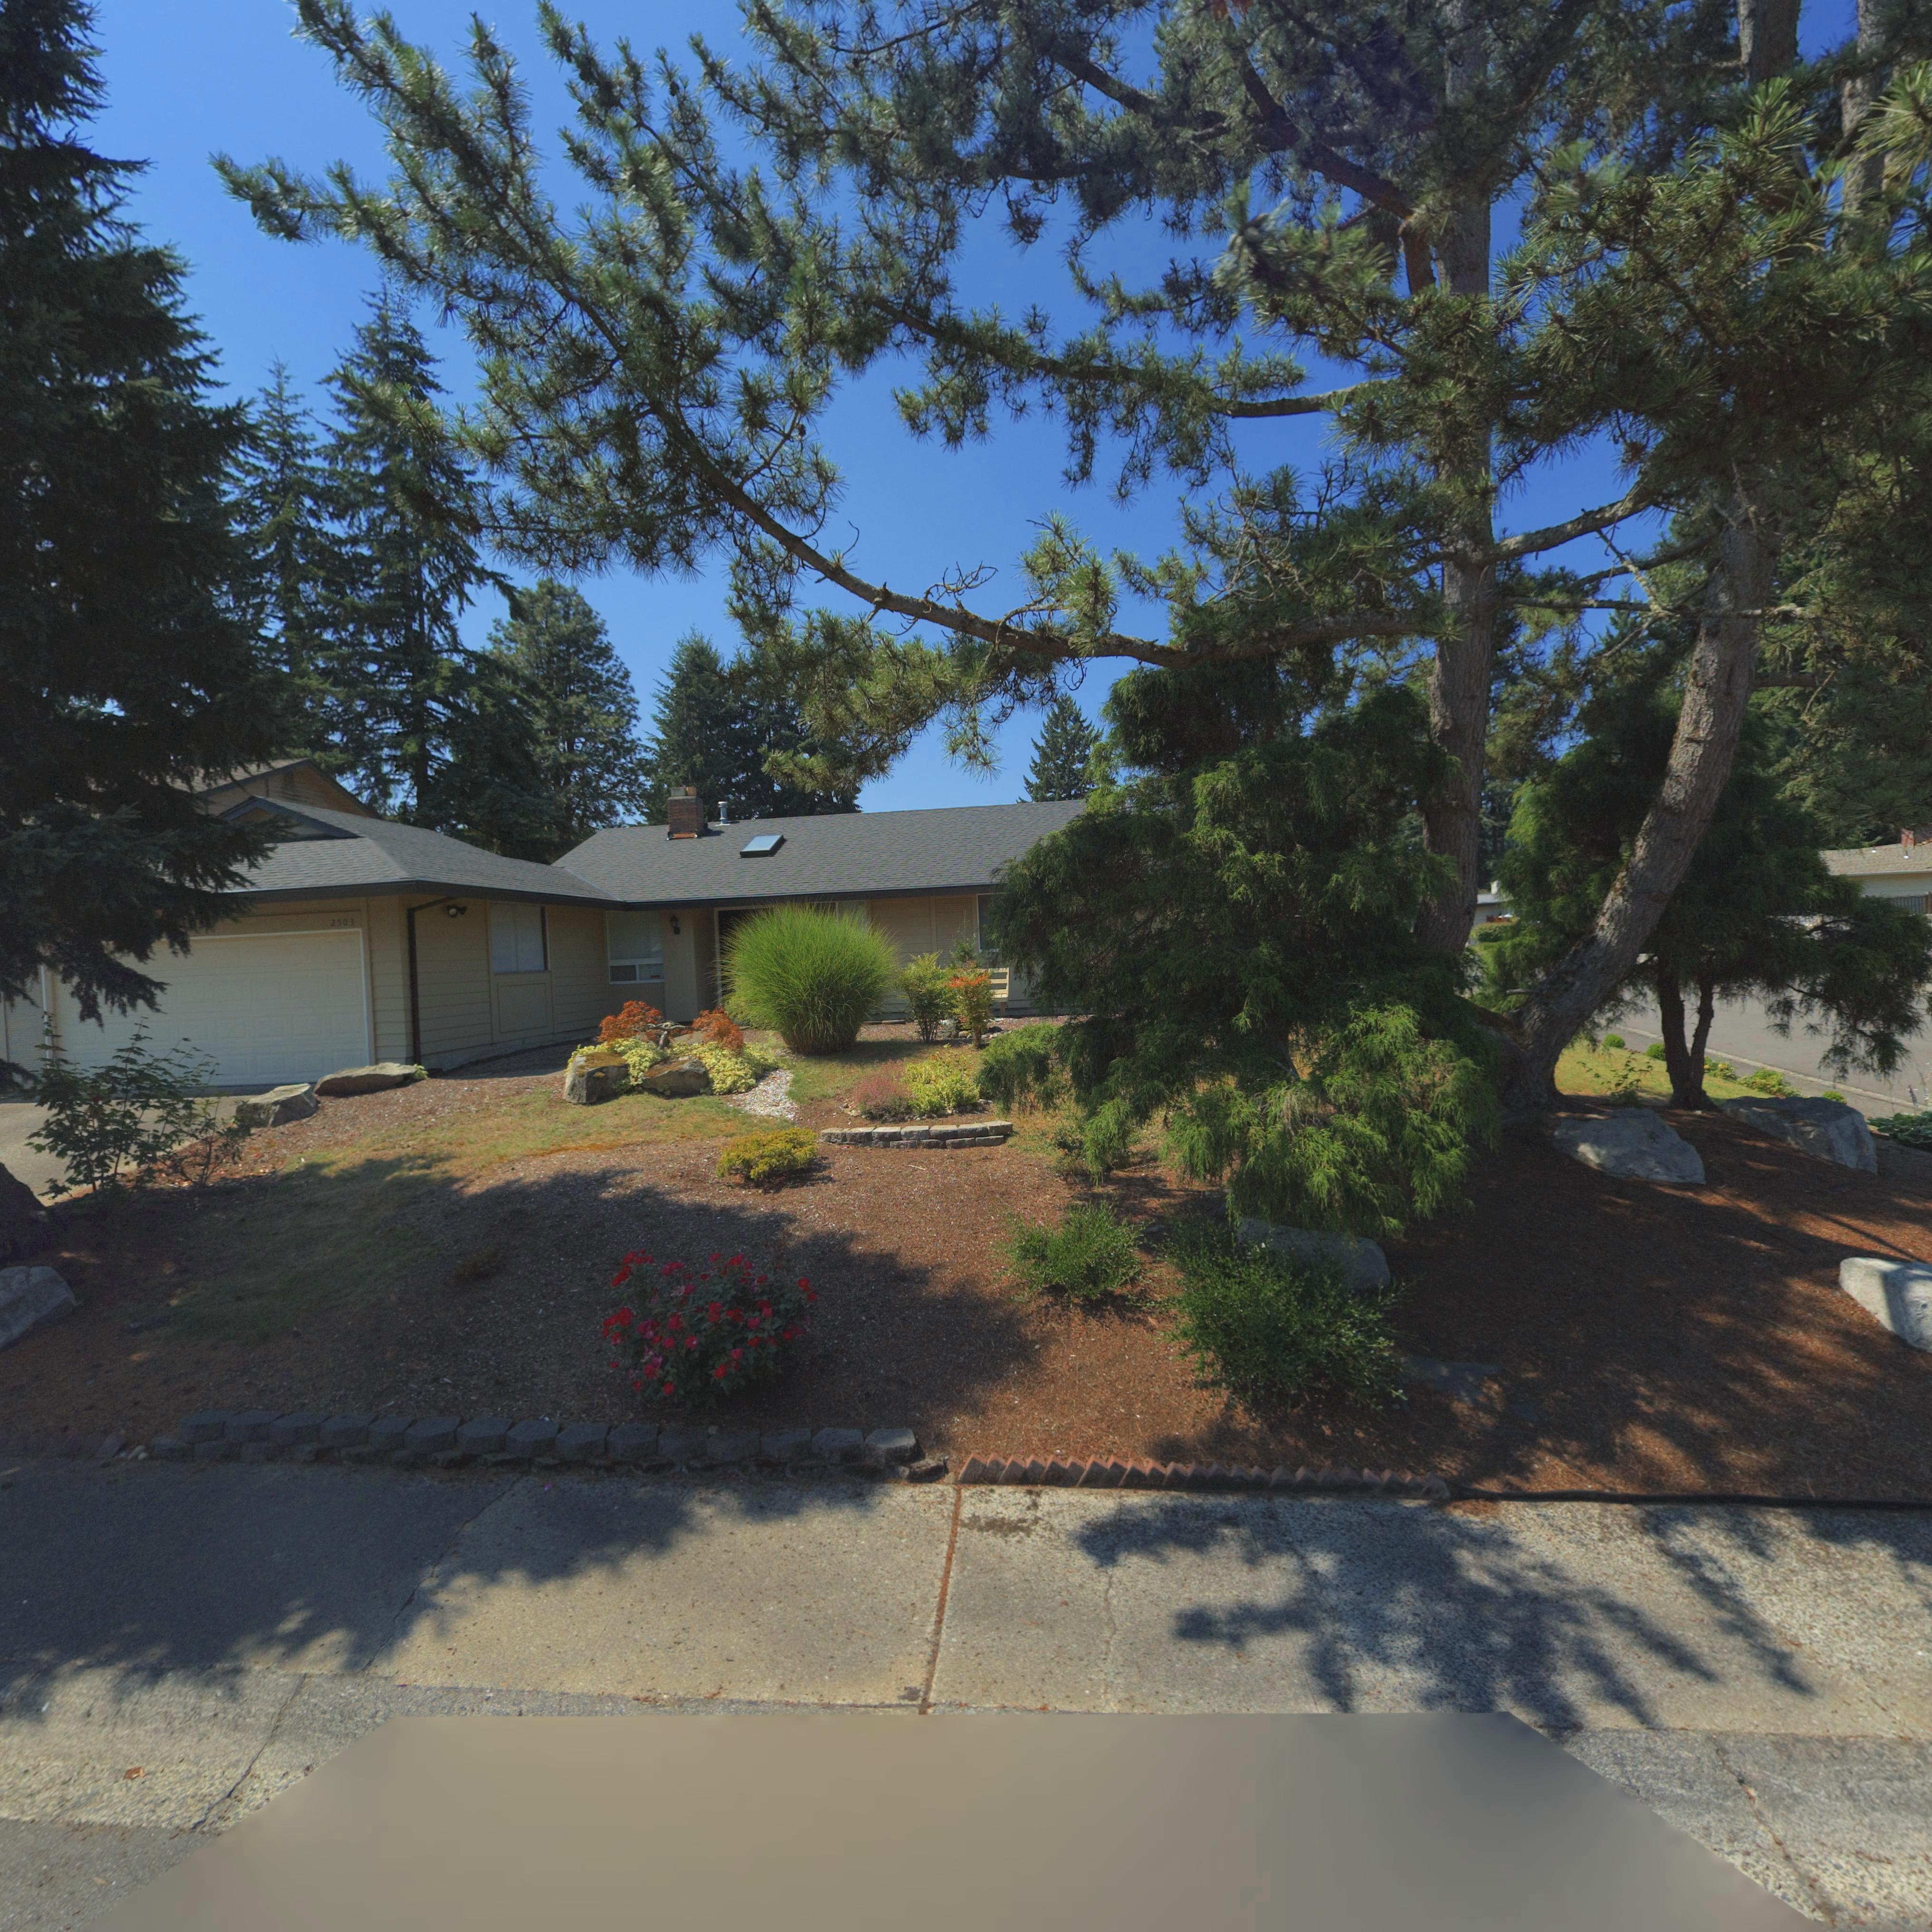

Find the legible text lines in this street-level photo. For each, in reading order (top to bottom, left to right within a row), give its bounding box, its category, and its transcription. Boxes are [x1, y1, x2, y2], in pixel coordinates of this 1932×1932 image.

[331, 918, 354, 927] StreetNumber: 2503